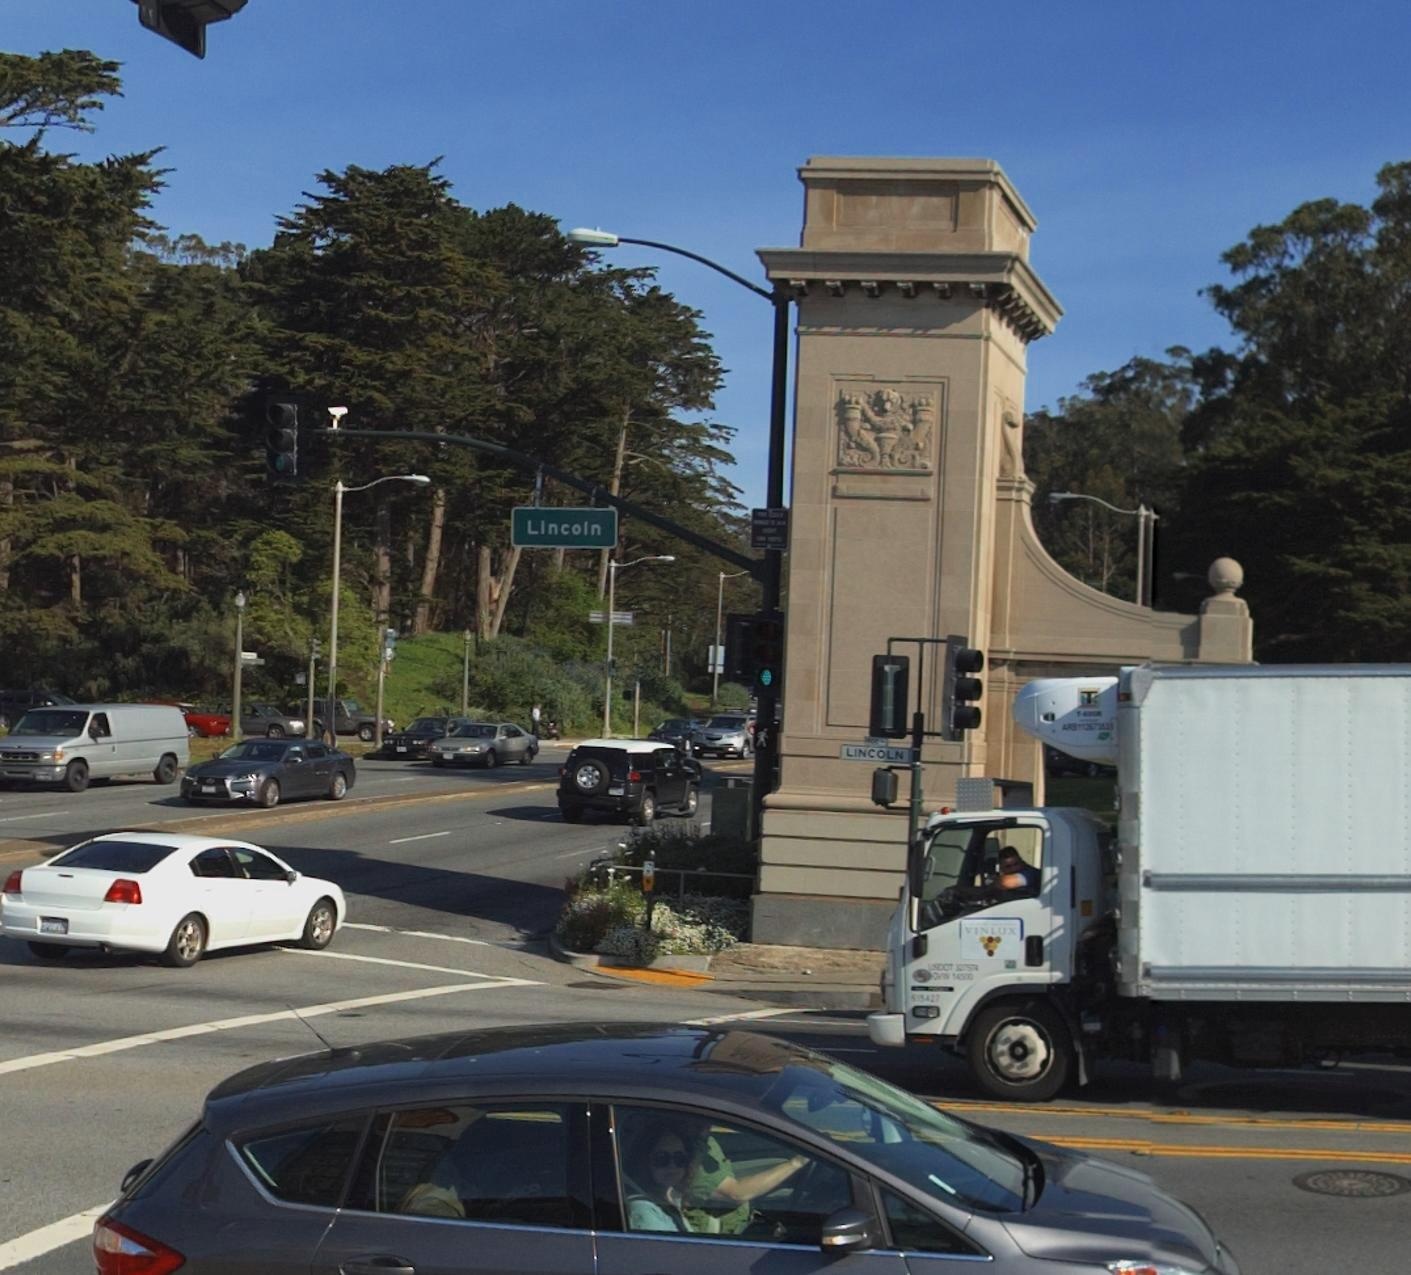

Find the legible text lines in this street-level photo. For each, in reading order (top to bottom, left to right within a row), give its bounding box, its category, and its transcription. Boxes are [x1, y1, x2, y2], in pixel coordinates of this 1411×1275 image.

[526, 518, 601, 537] StreetName: Lincoln
[846, 747, 905, 761] StreetName: LINCOLN
[961, 925, 1017, 937] None: vin*ux
[952, 972, 974, 980] None: 14500